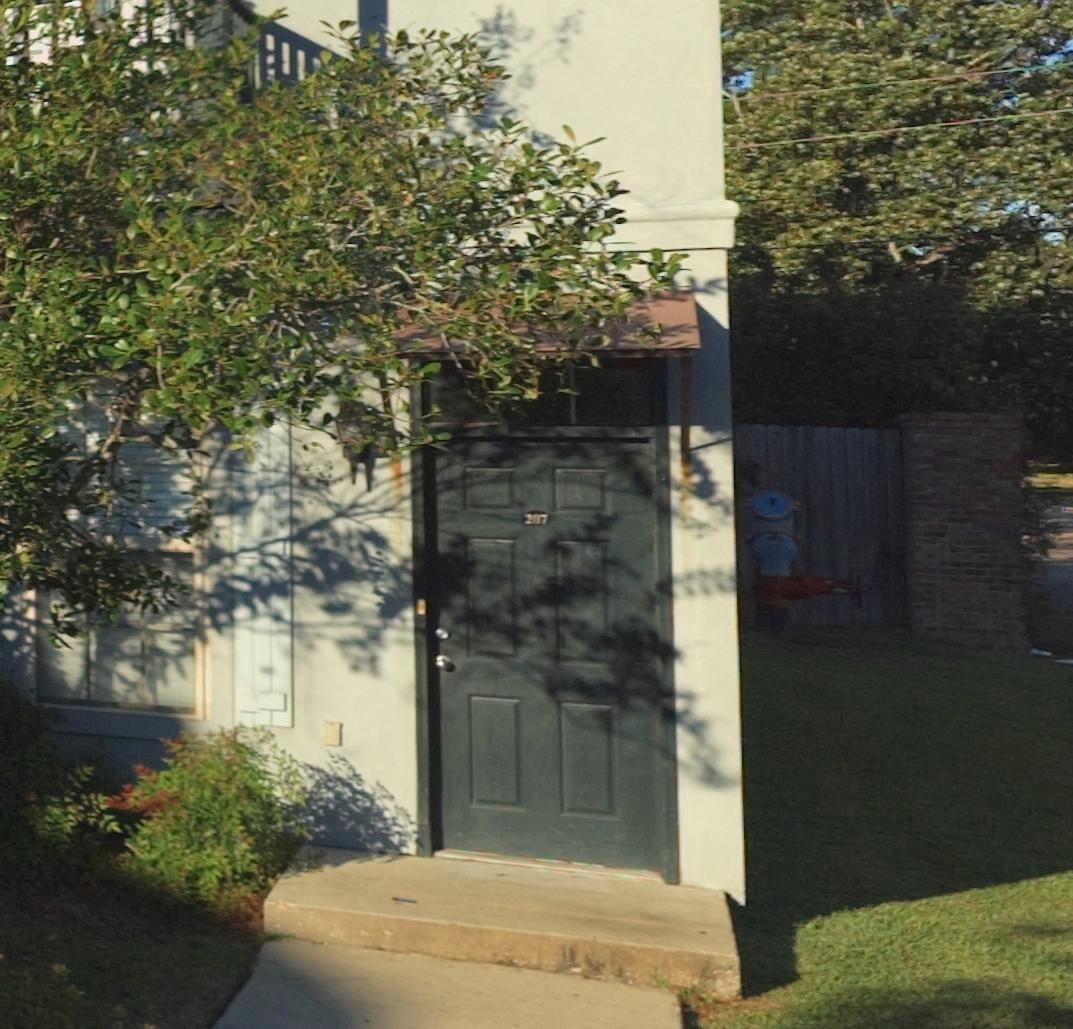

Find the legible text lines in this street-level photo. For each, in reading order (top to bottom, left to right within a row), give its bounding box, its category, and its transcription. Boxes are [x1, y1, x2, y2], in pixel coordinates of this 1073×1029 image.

[522, 512, 550, 527] StreetNumber: 207